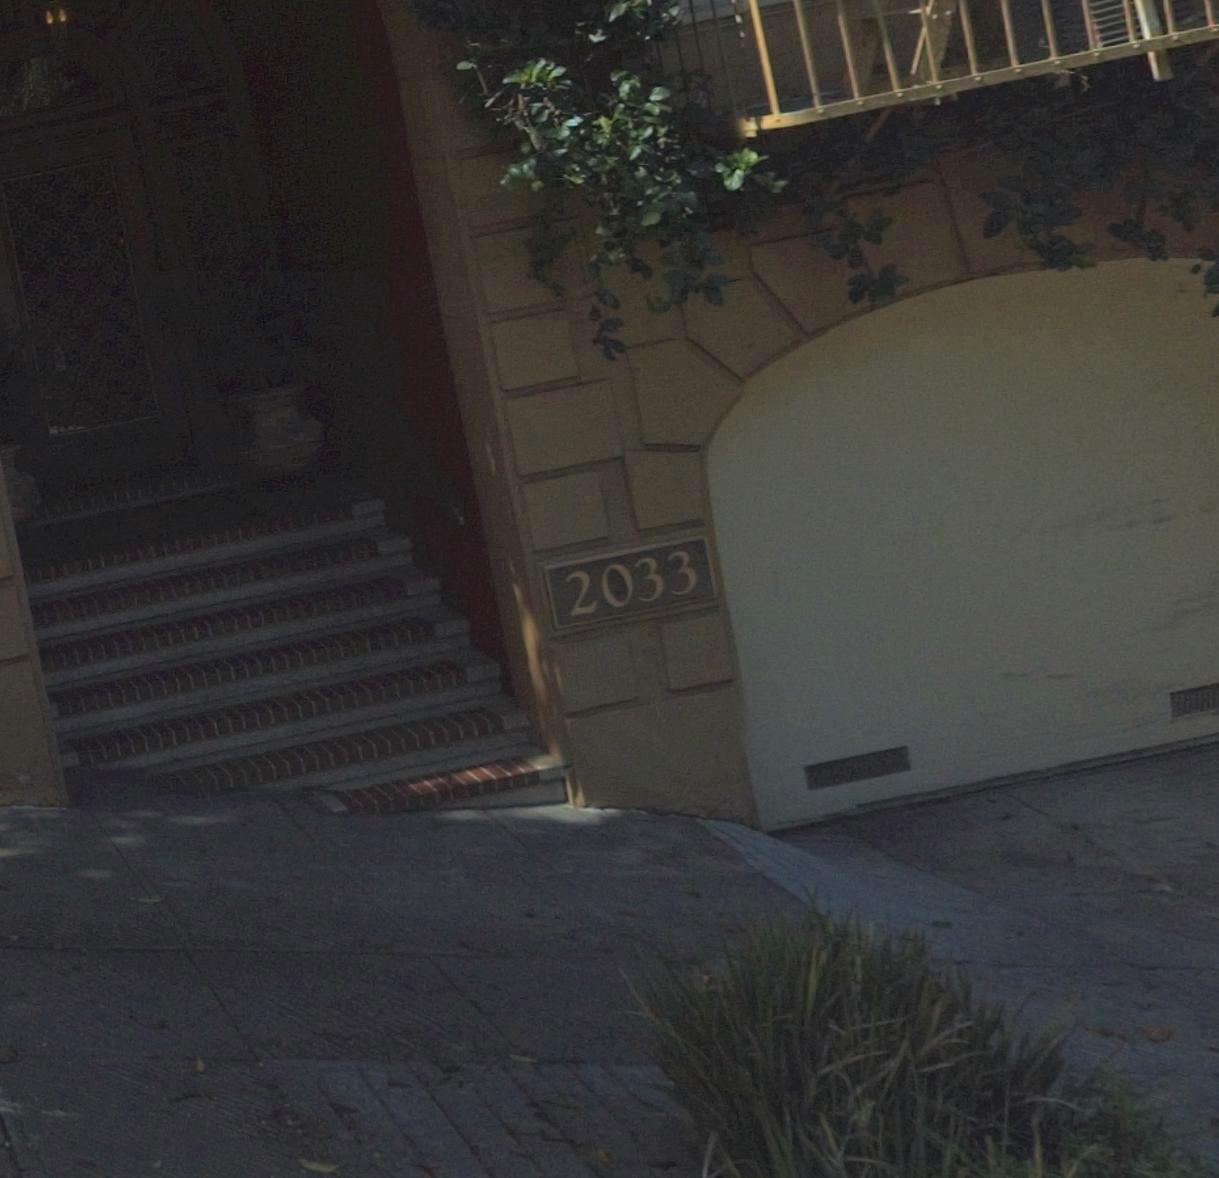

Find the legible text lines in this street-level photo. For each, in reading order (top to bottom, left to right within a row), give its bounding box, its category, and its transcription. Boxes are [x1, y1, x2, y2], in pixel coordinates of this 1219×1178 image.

[563, 548, 698, 620] StreetNumber: 2033